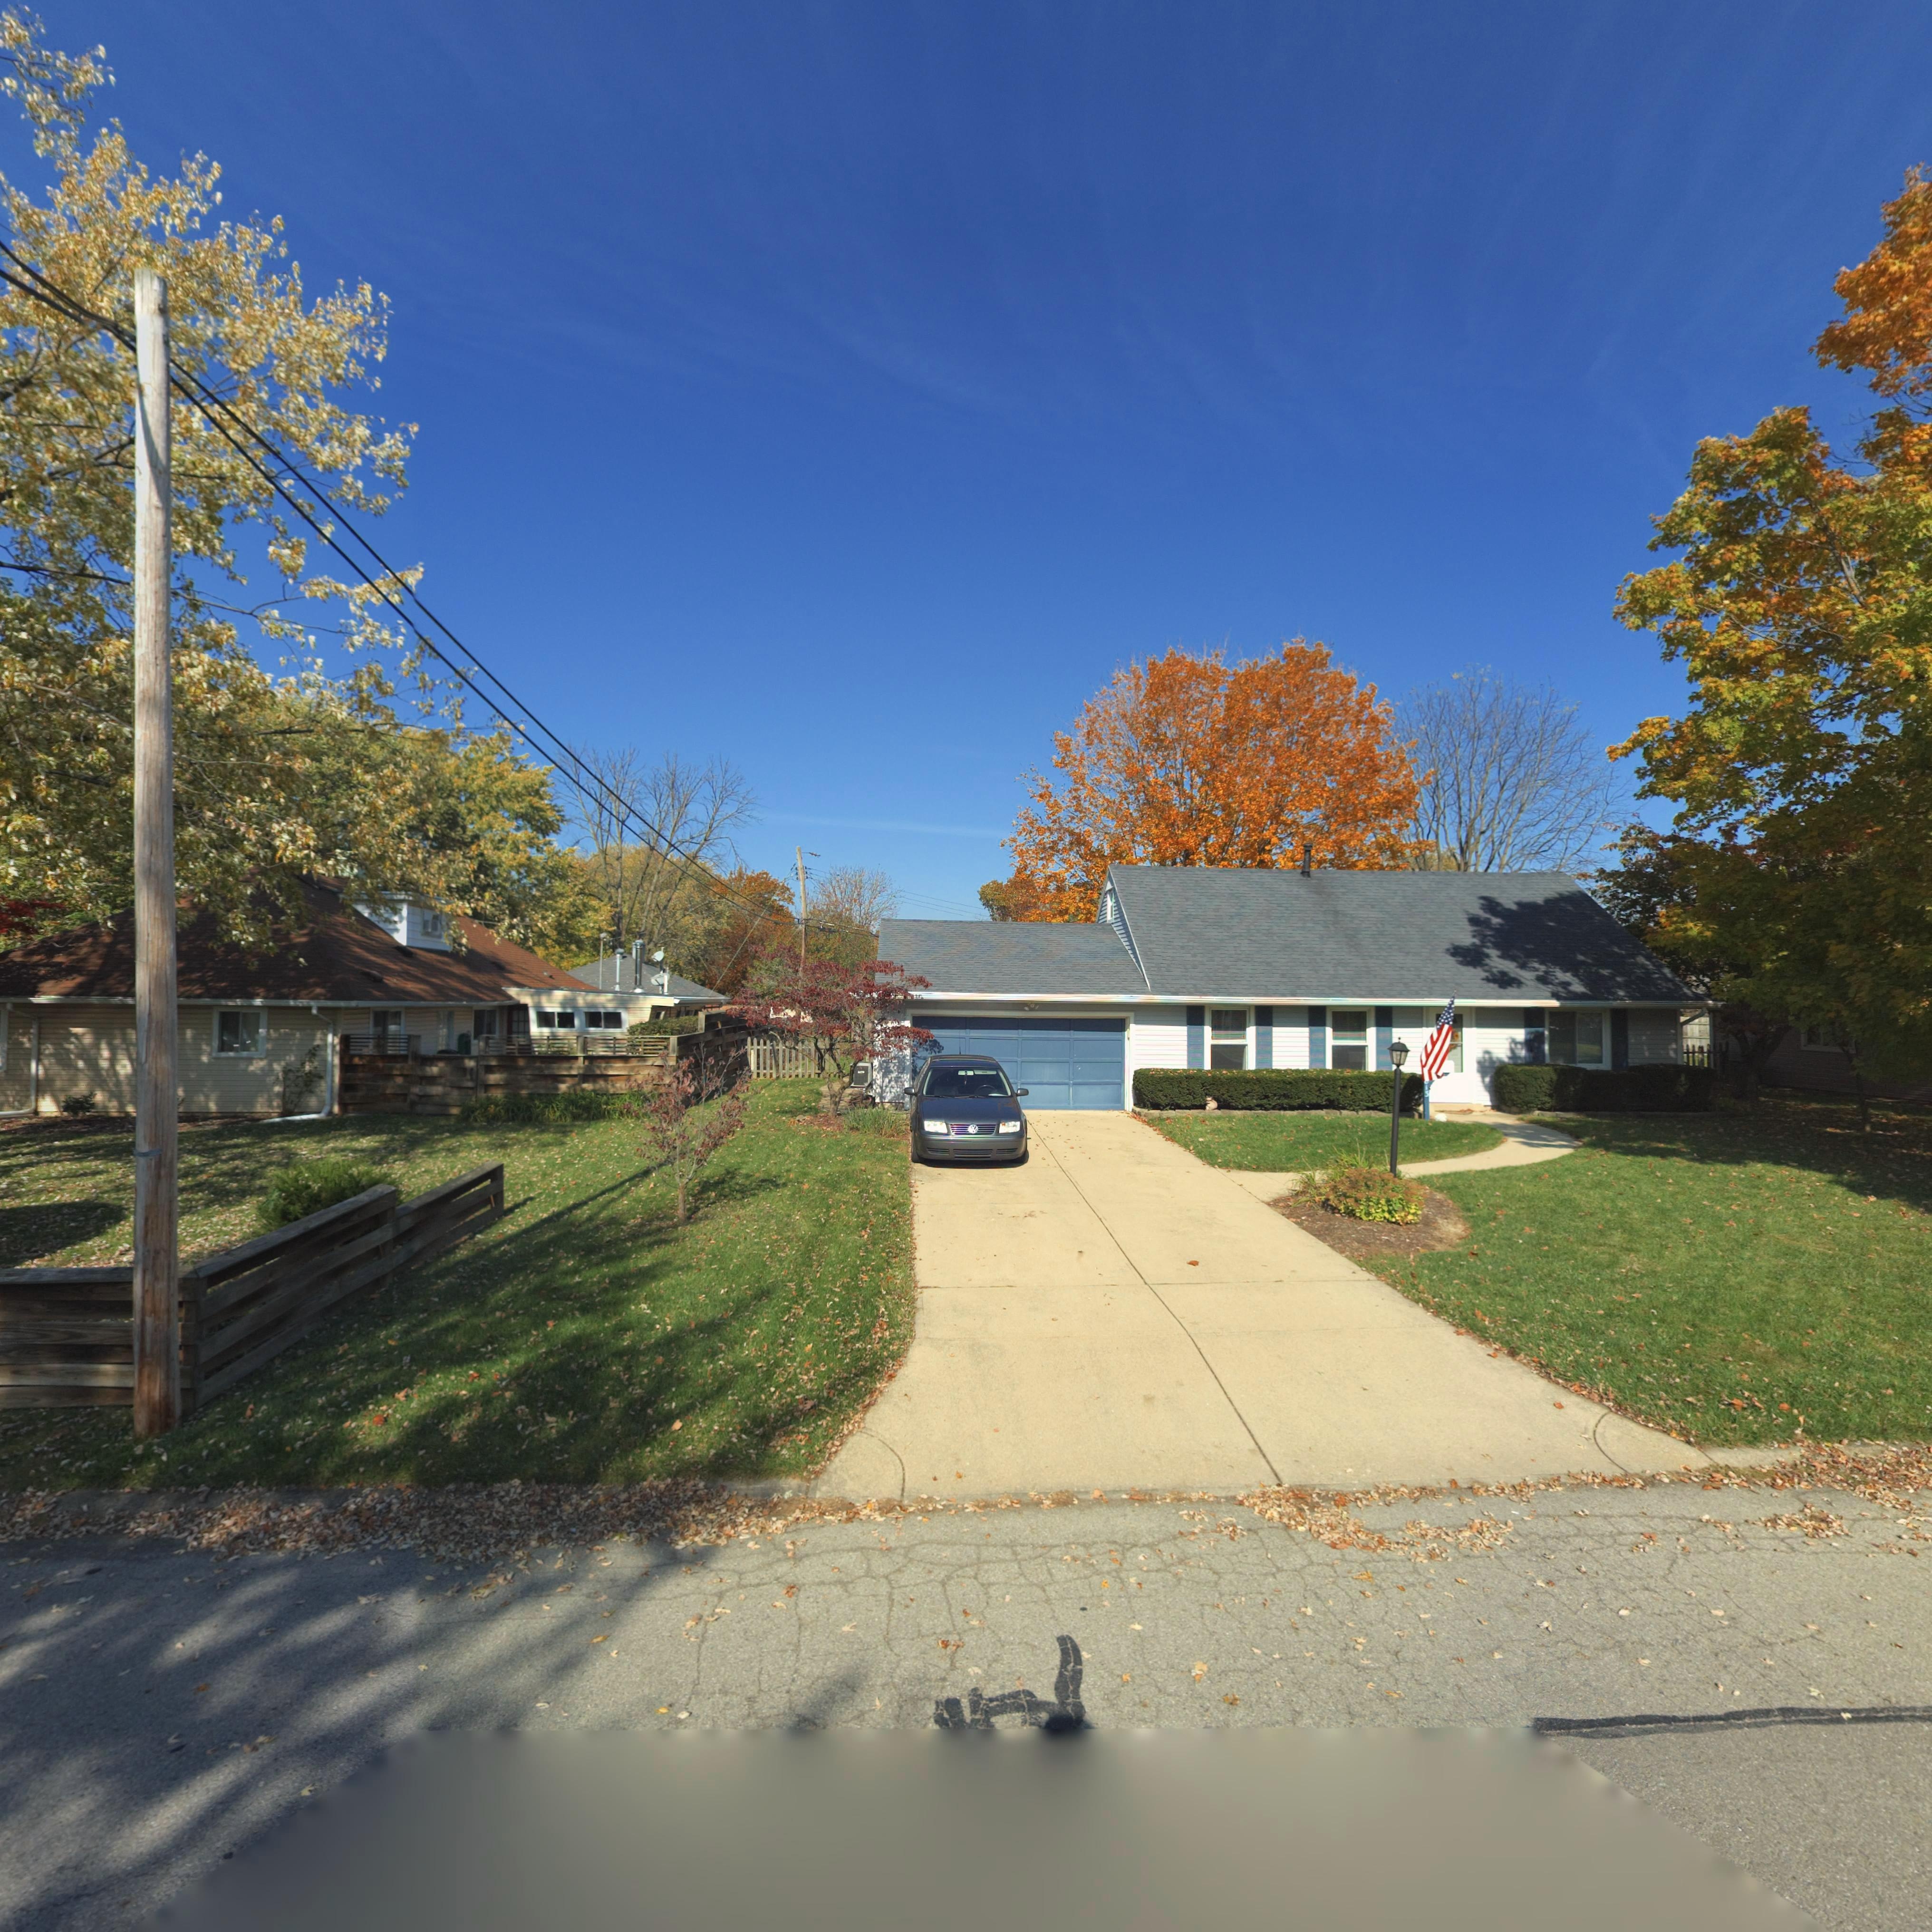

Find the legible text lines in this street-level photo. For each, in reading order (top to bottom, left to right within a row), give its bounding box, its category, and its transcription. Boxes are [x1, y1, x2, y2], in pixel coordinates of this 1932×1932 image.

[1424, 1083, 1430, 1098] StreetNumber: 1*